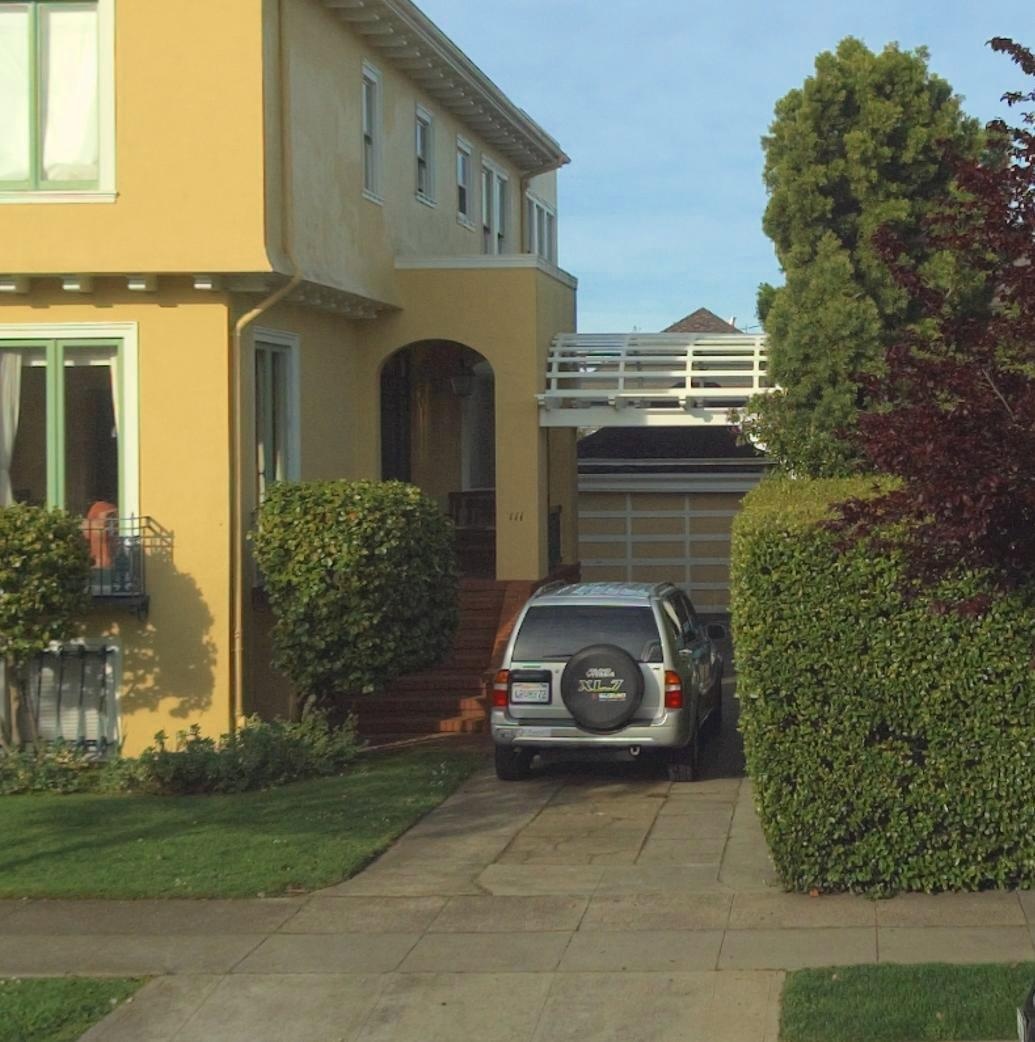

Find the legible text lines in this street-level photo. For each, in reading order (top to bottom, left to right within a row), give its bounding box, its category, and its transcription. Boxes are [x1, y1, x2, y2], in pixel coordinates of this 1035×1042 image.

[507, 510, 525, 523] StreetNumber: 111
[575, 678, 626, 693] None: XL.7